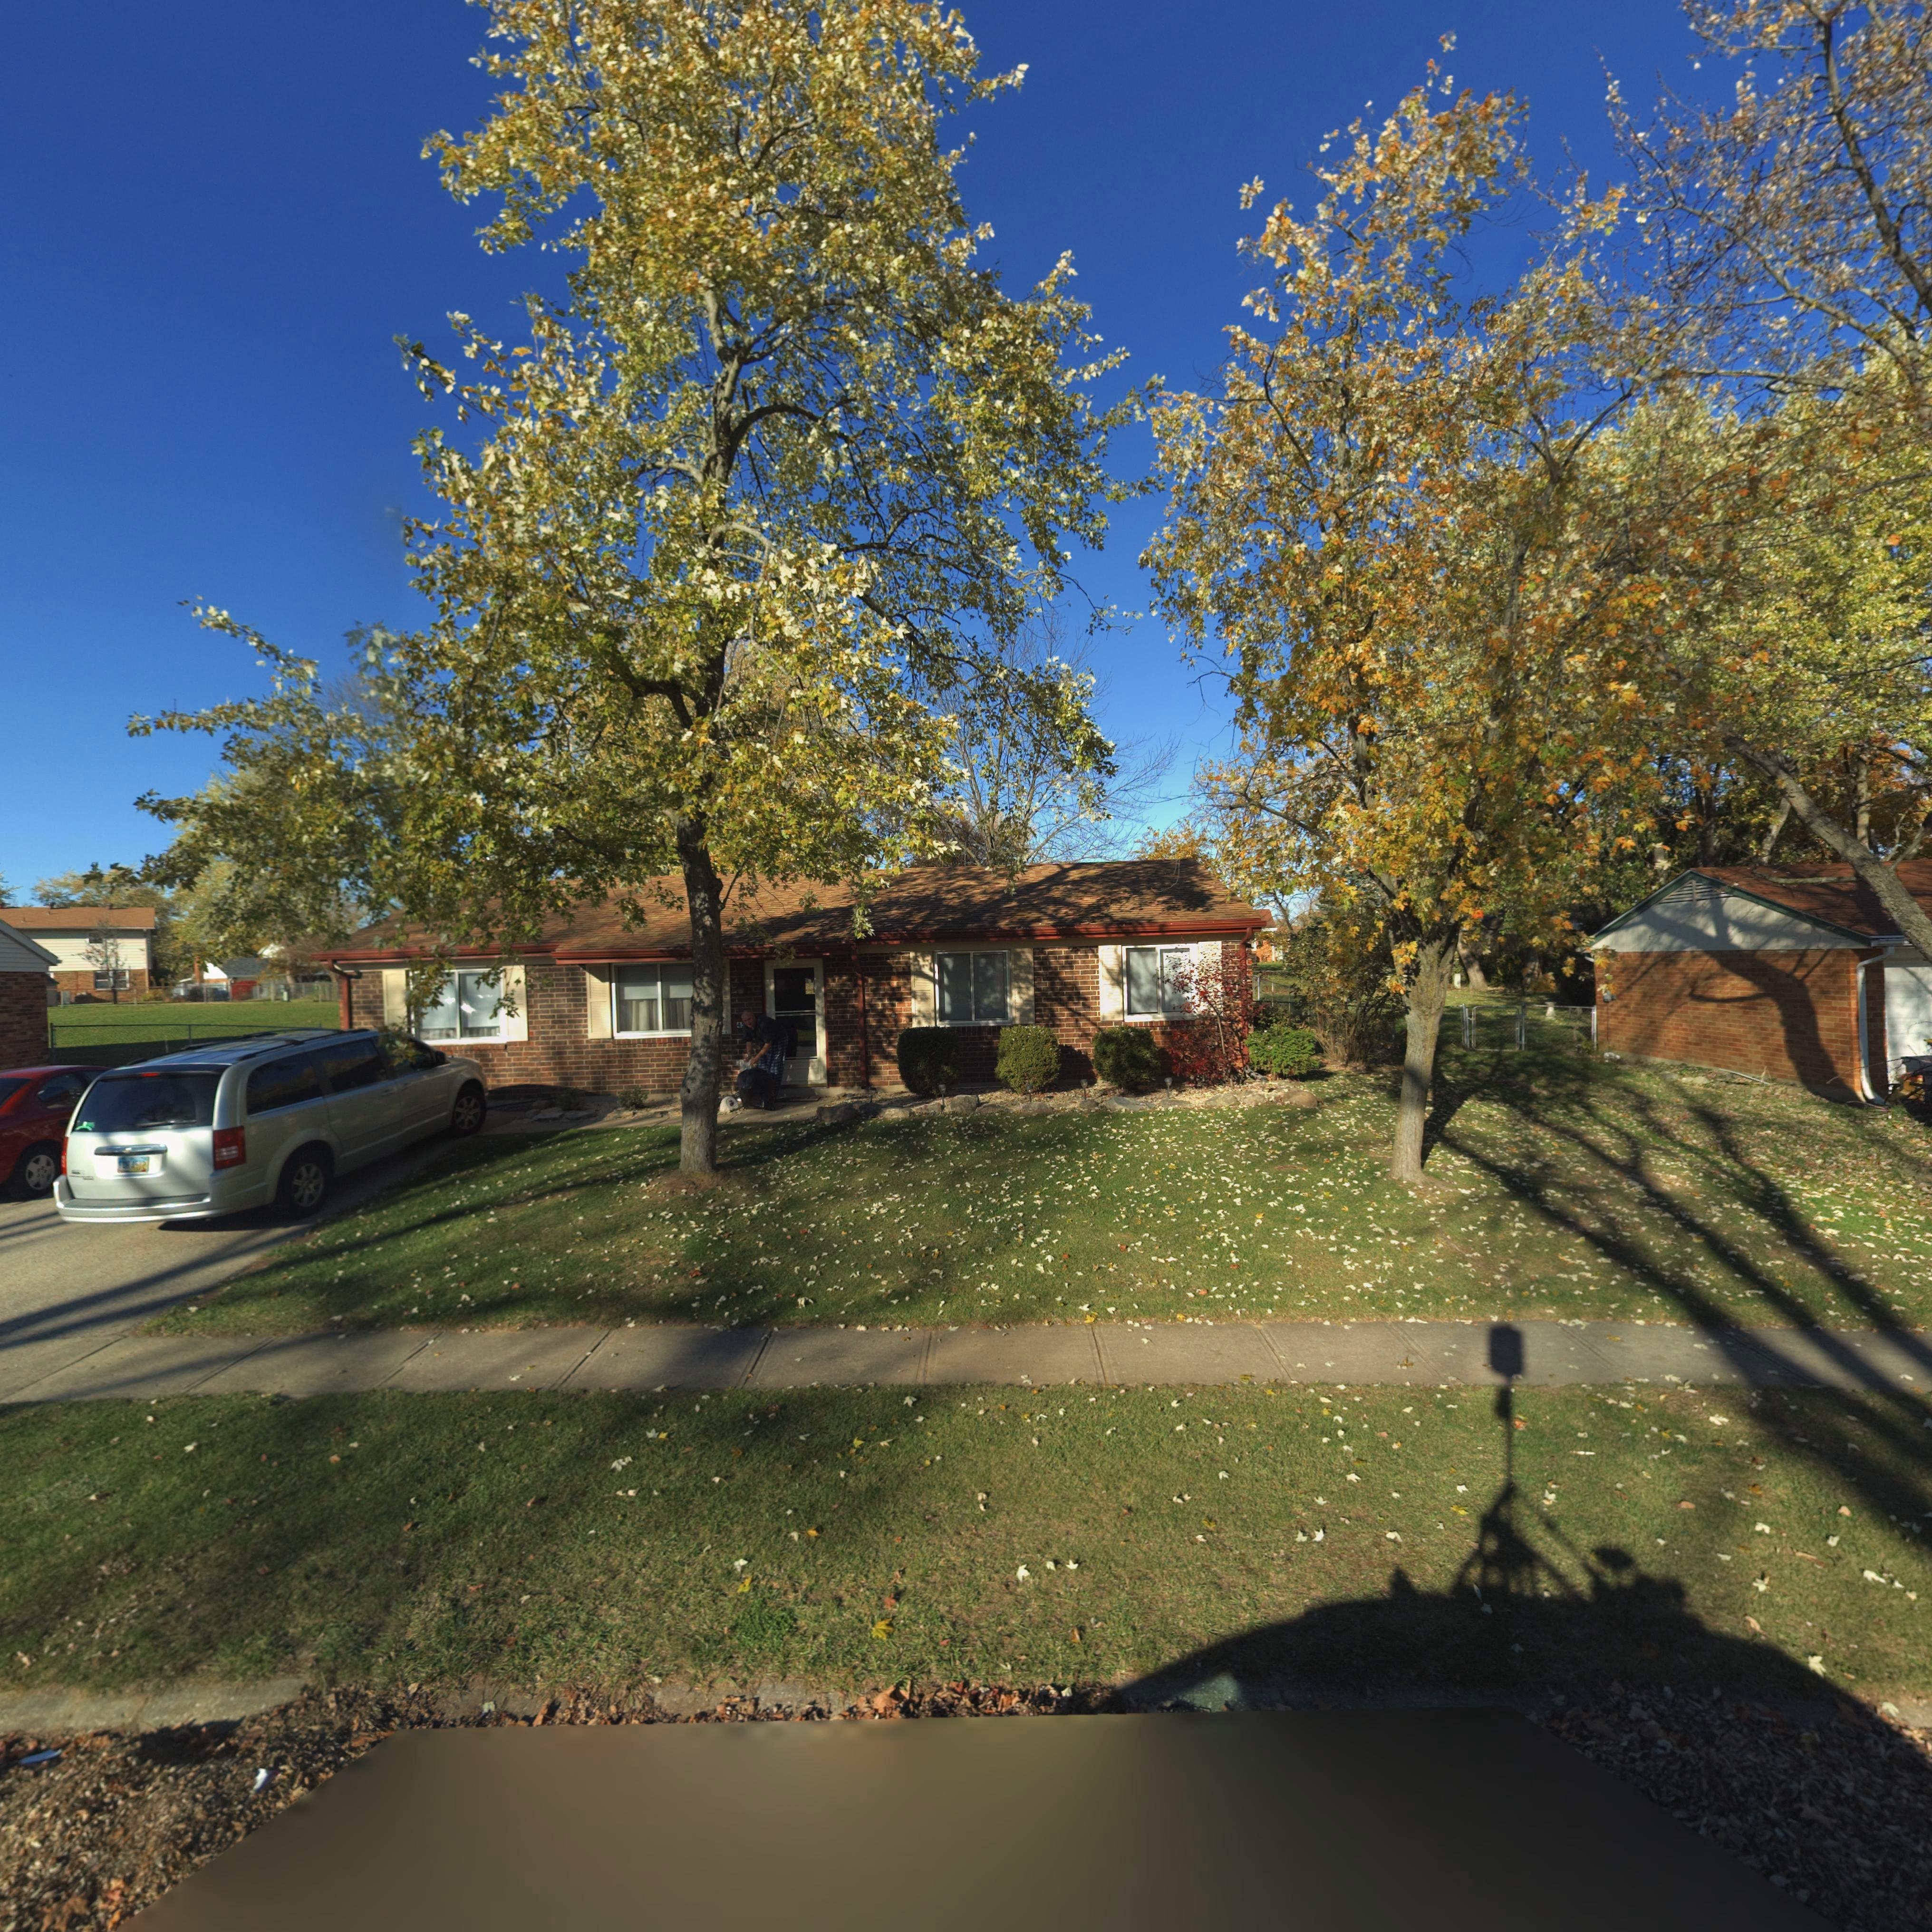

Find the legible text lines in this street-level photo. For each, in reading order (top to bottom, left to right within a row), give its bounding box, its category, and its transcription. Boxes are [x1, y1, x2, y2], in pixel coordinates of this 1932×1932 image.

[737, 1022, 741, 1028] StreetNumber: 4